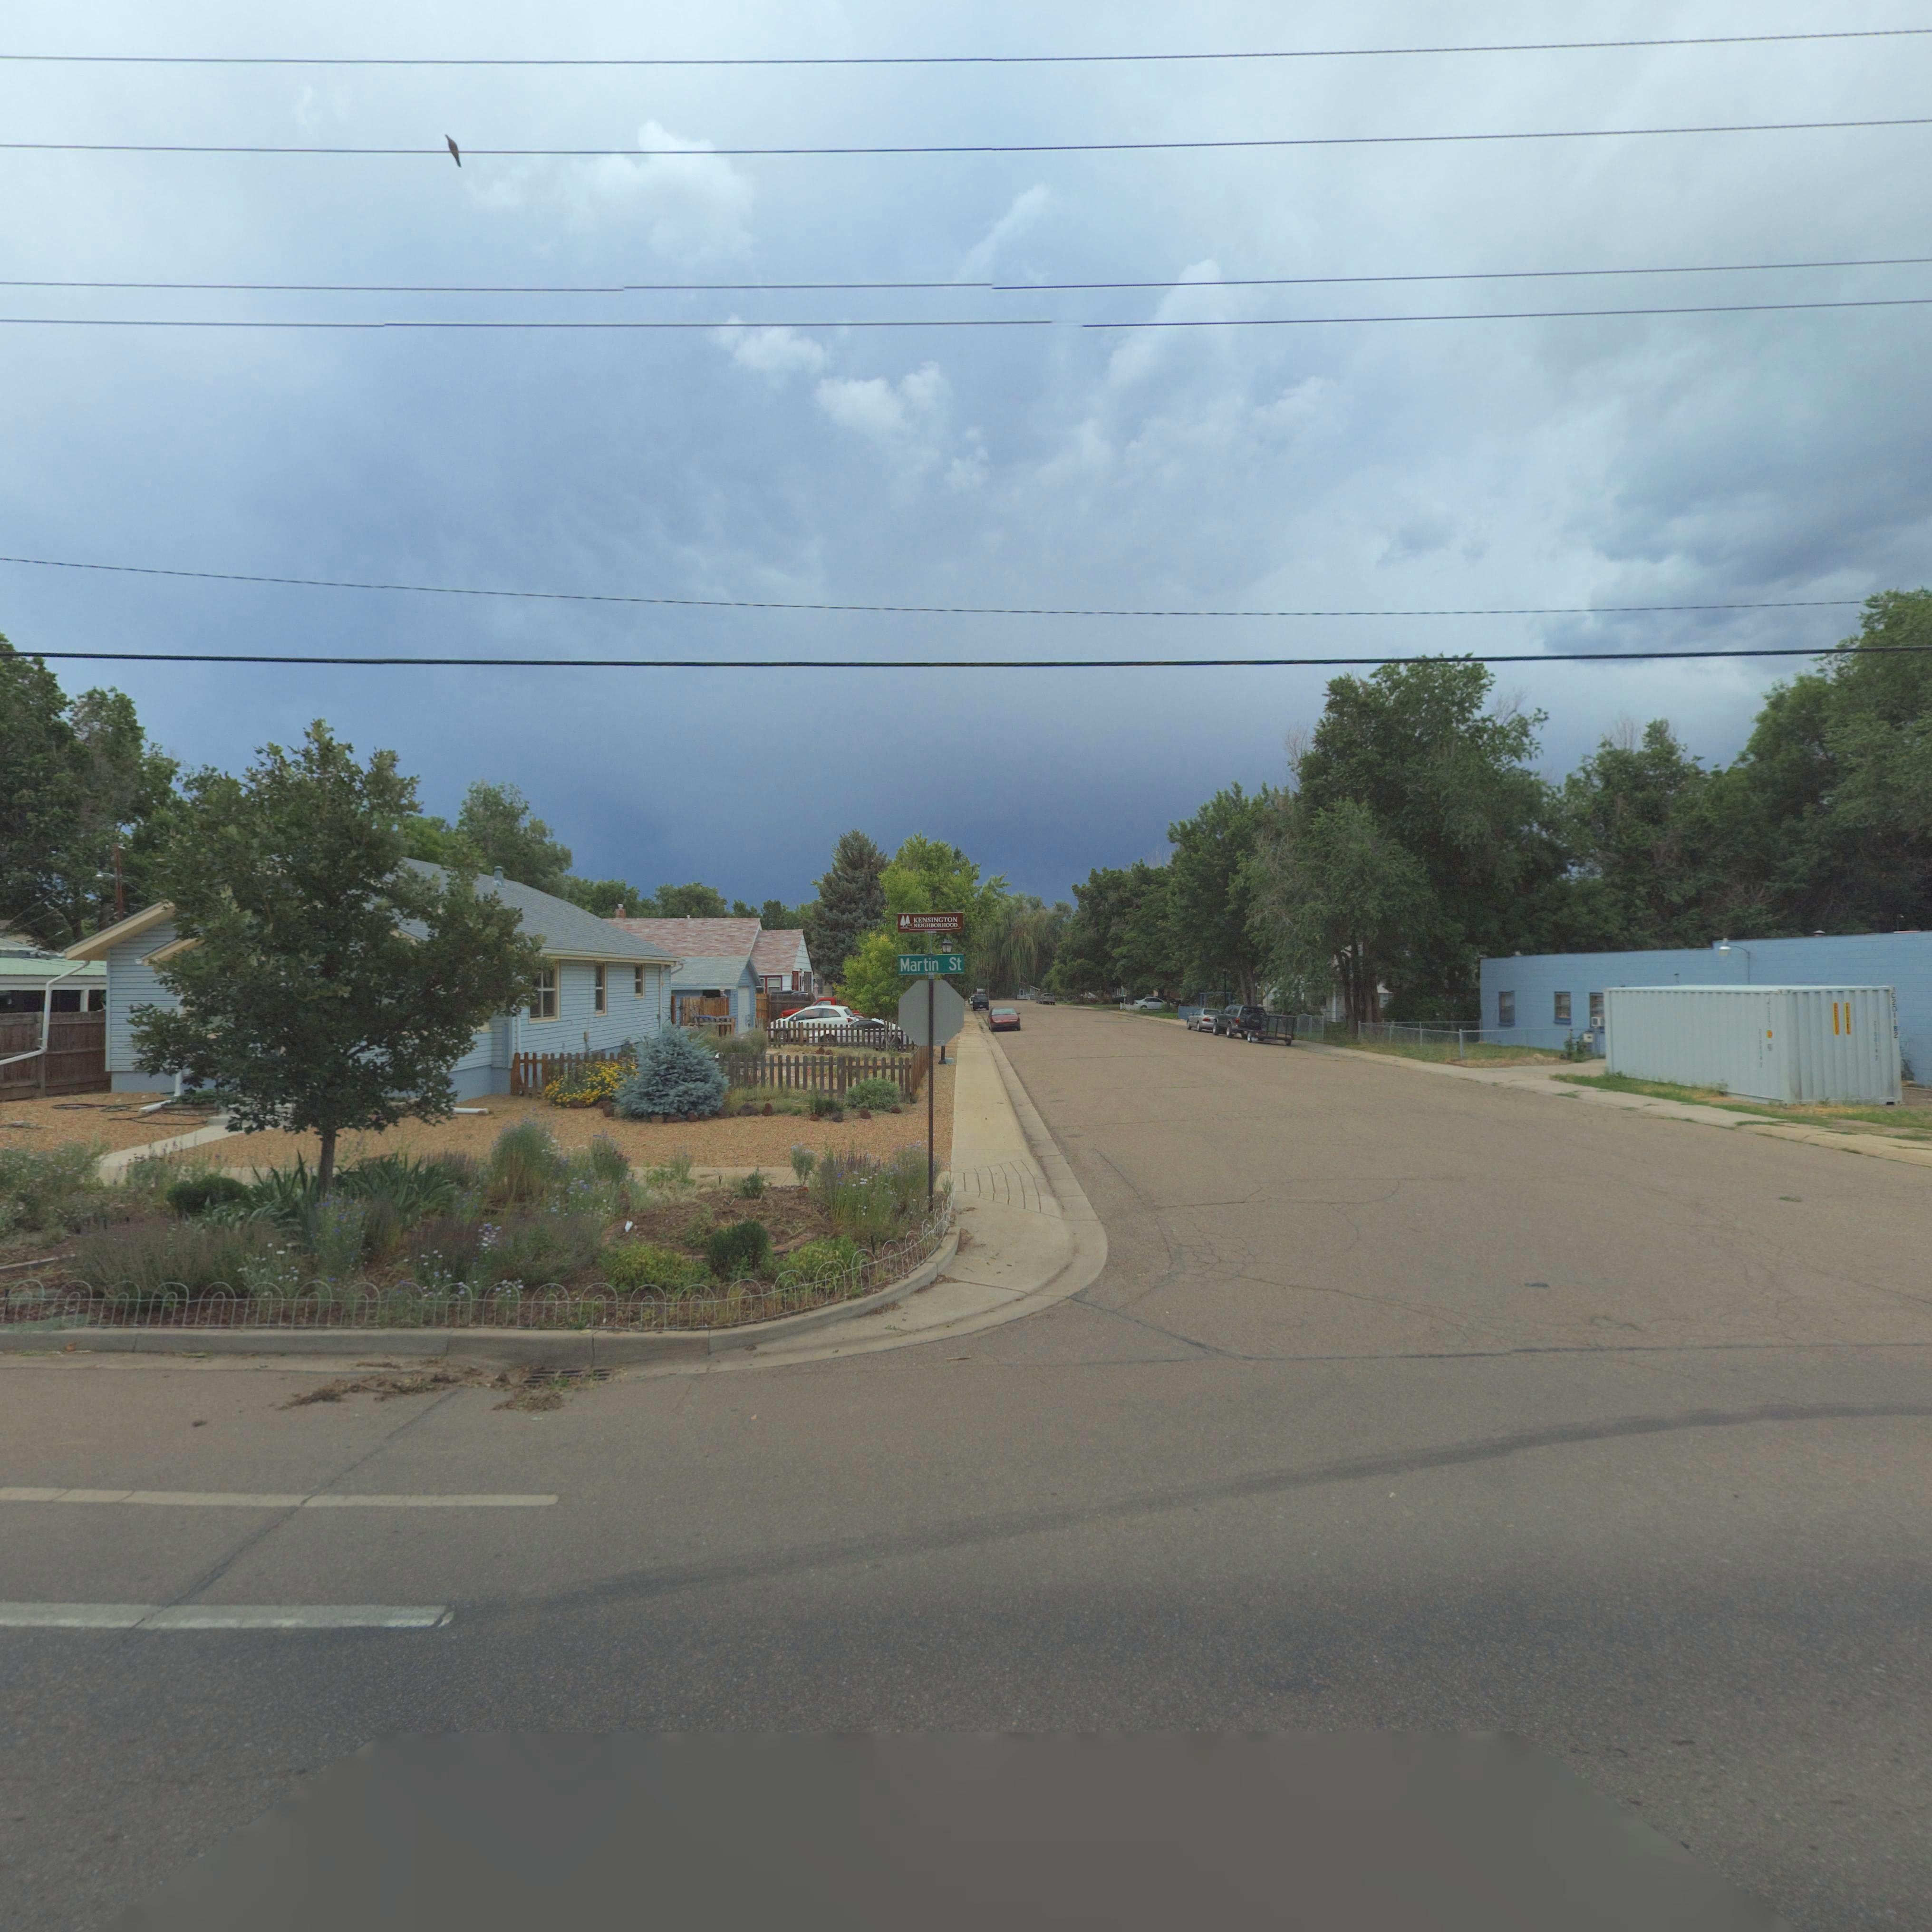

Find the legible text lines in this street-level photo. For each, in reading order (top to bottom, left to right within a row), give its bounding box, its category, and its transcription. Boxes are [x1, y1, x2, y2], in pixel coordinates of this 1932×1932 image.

[900, 957, 962, 972] StreetName: Martin st